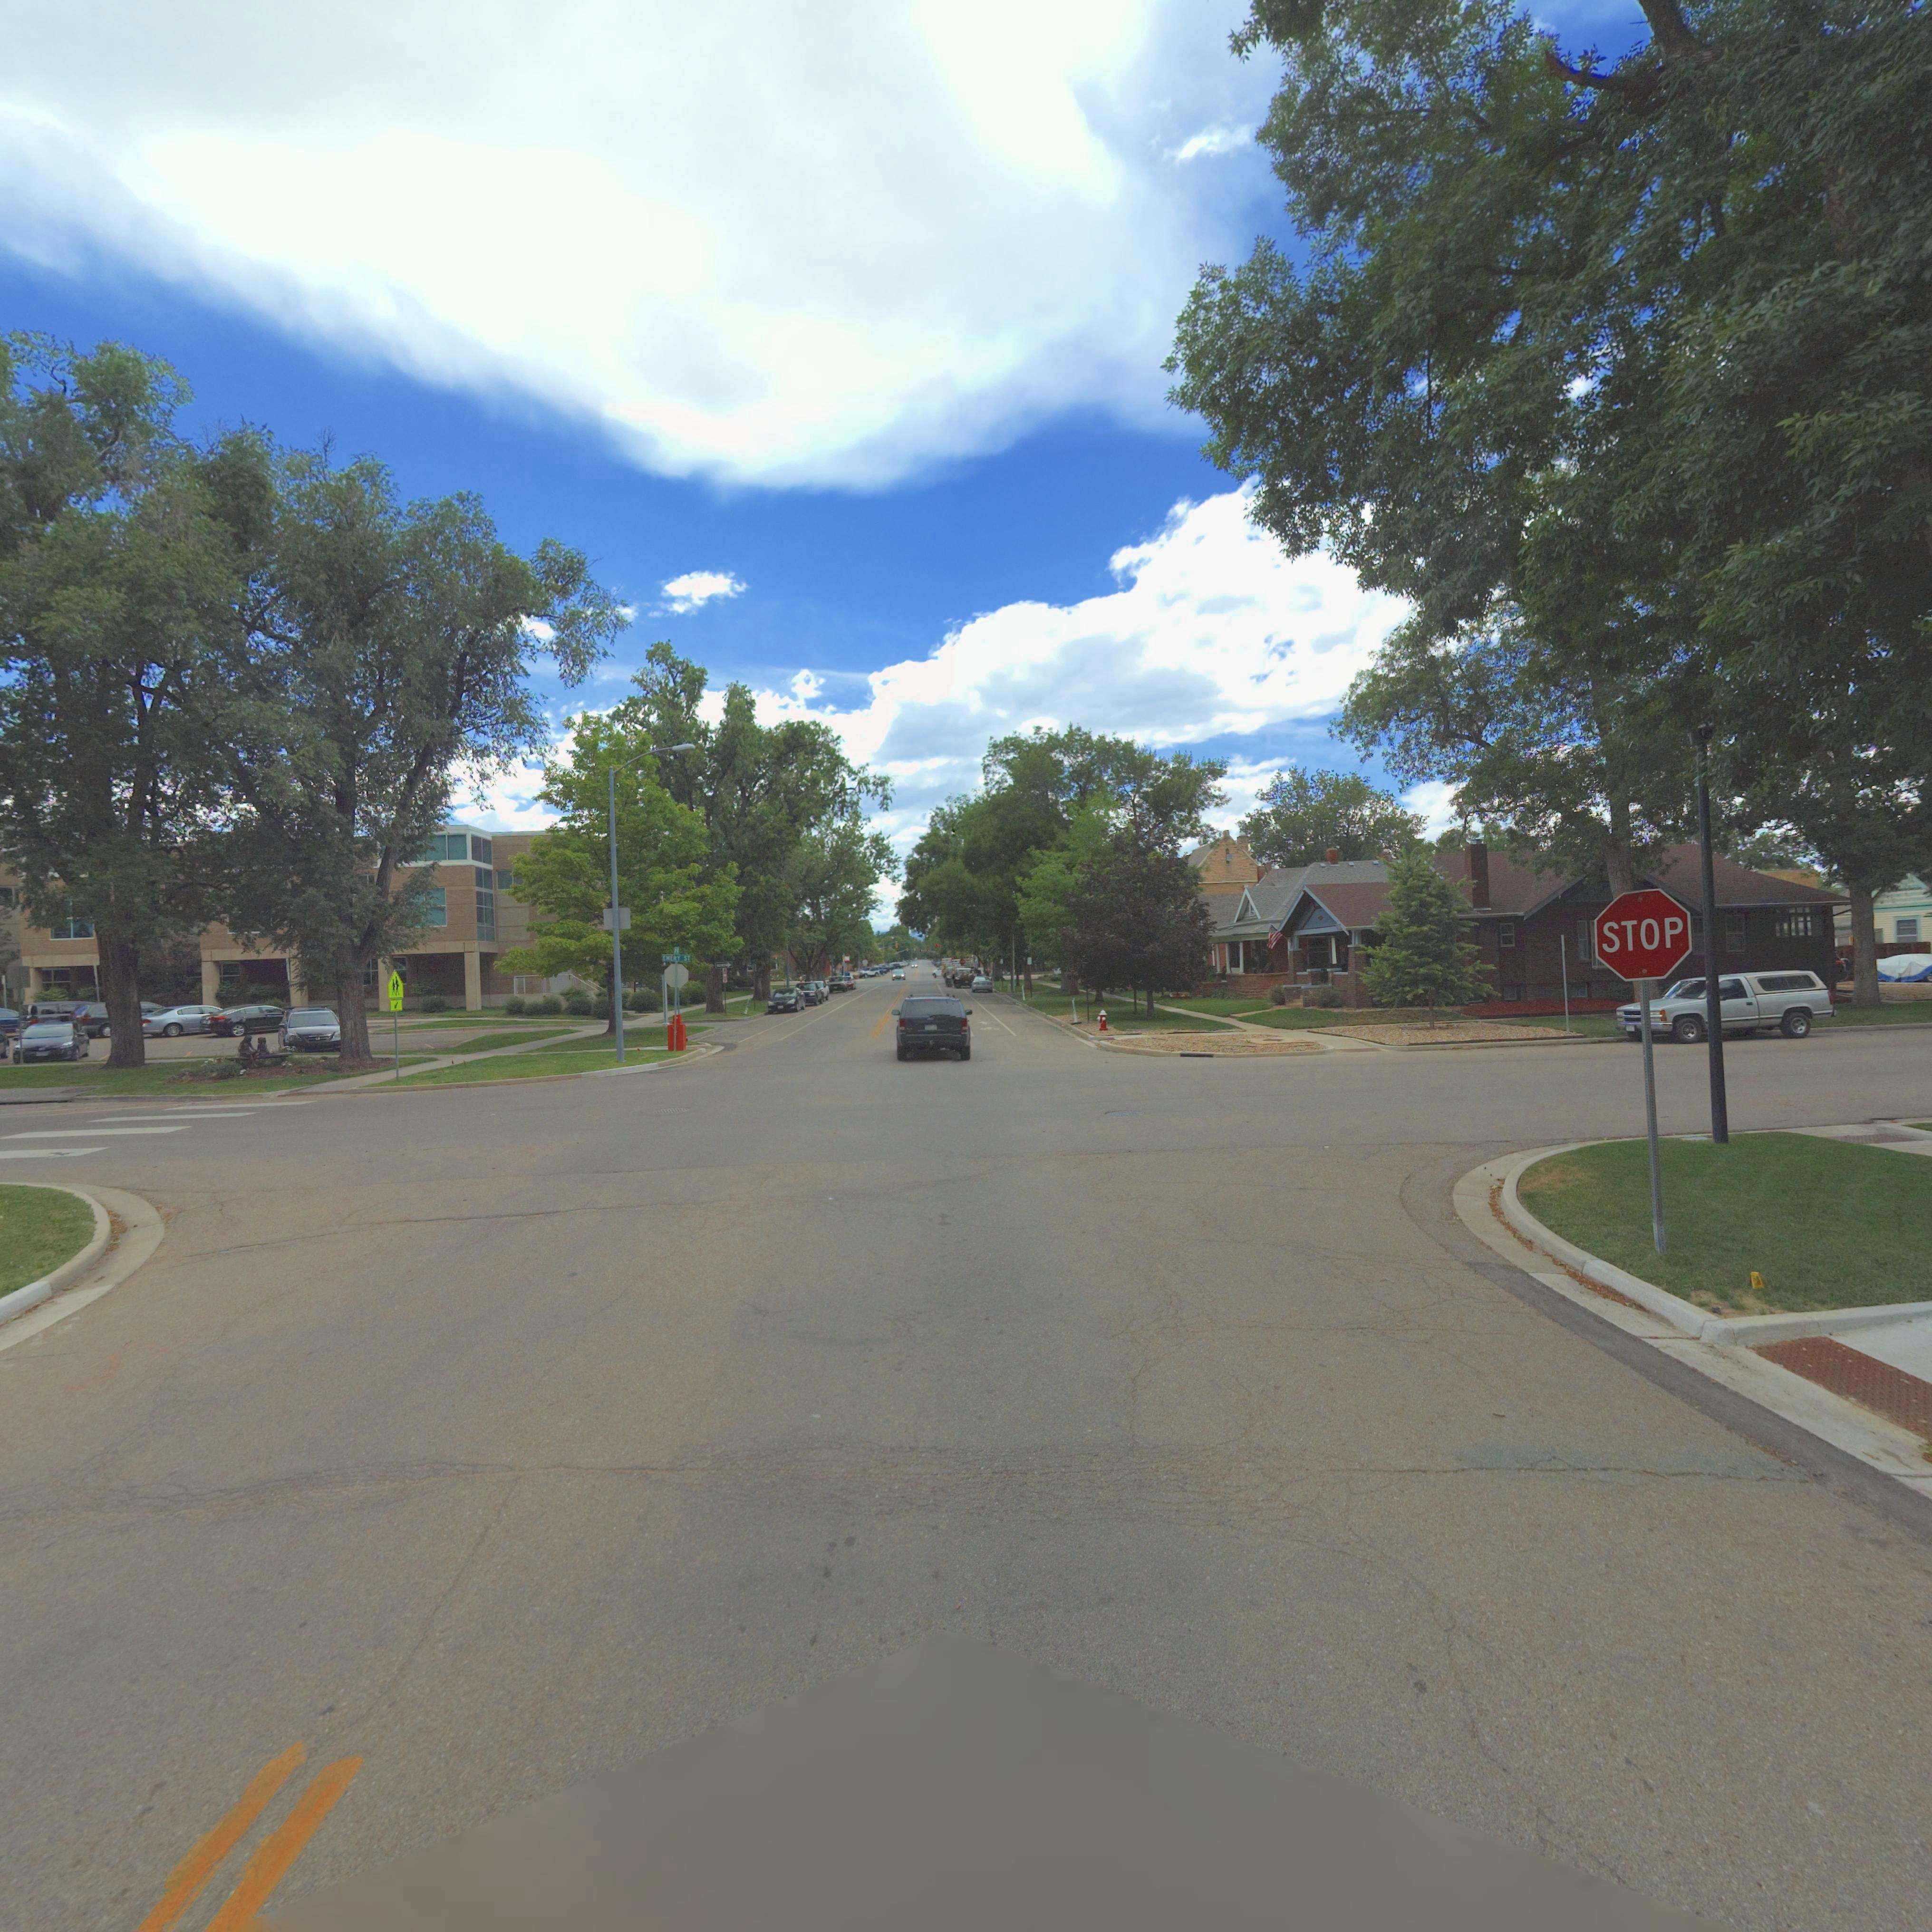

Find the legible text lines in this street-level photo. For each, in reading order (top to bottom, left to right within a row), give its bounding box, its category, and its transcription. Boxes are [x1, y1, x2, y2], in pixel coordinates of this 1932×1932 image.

[662, 955, 690, 961] StreetName: EMERY ST